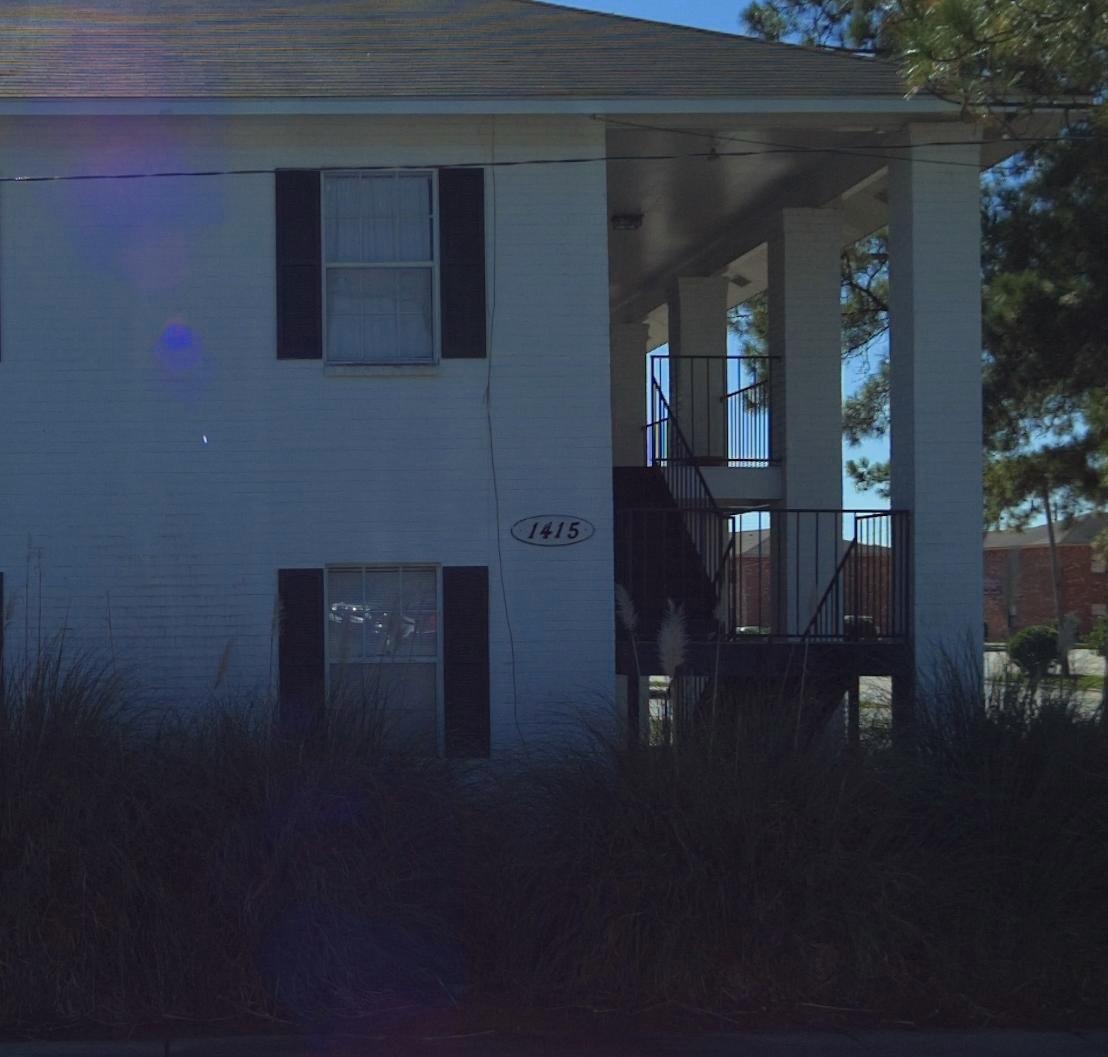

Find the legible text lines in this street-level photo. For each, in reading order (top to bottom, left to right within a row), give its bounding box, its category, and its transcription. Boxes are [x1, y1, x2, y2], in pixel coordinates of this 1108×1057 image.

[524, 519, 582, 541] StreetNumber: 1415